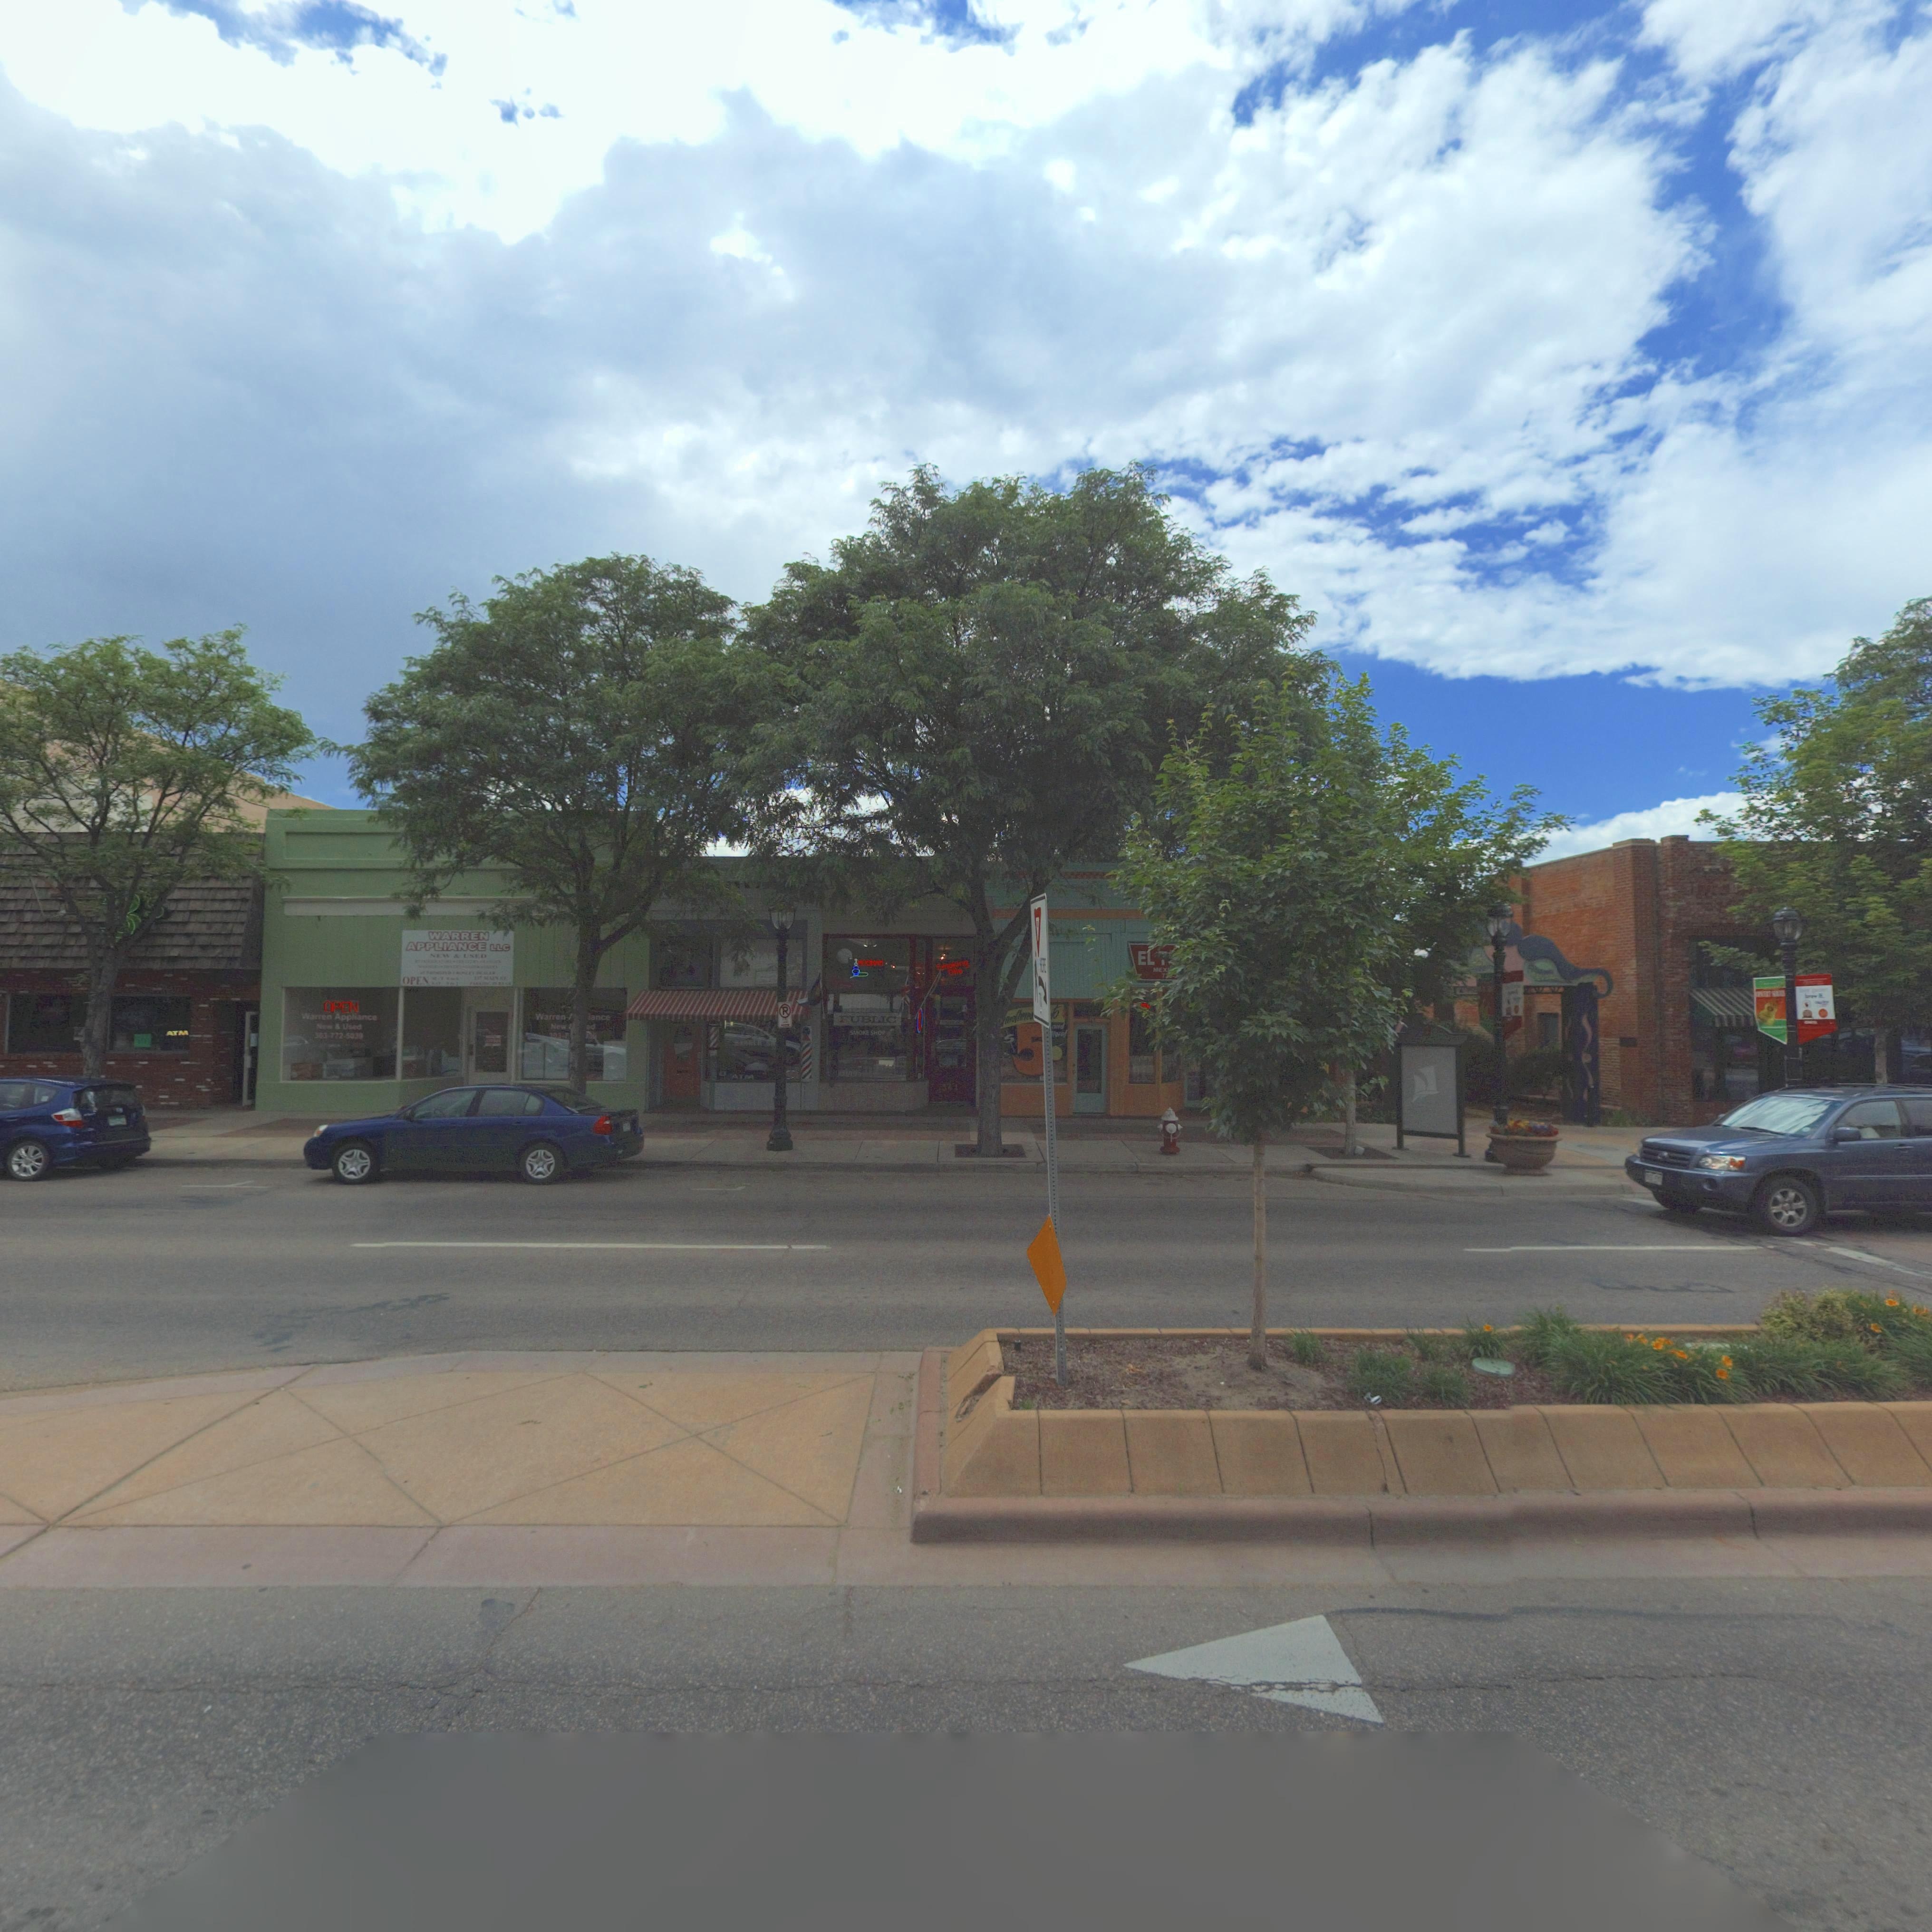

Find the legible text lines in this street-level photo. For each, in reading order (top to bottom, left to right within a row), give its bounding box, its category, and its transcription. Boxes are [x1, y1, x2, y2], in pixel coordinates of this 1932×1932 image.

[427, 930, 489, 941] BusinessName: WARREN
[405, 941, 510, 952] BusinessName: APPLIANCE LLC
[1137, 950, 1181, 966] BusinessName: EL T******
[473, 976, 482, 980] StreetNumber: **7
[483, 975, 507, 981] StreetName: MAIN ST
[300, 1012, 377, 1022] BusinessName: Warren Appliance
[534, 1012, 611, 1021] BusinessName: Warren A***iance
[839, 1014, 897, 1023] BusinessName: *UBLIC
[850, 1030, 885, 1035] BusinessName: SMOKE SHOP